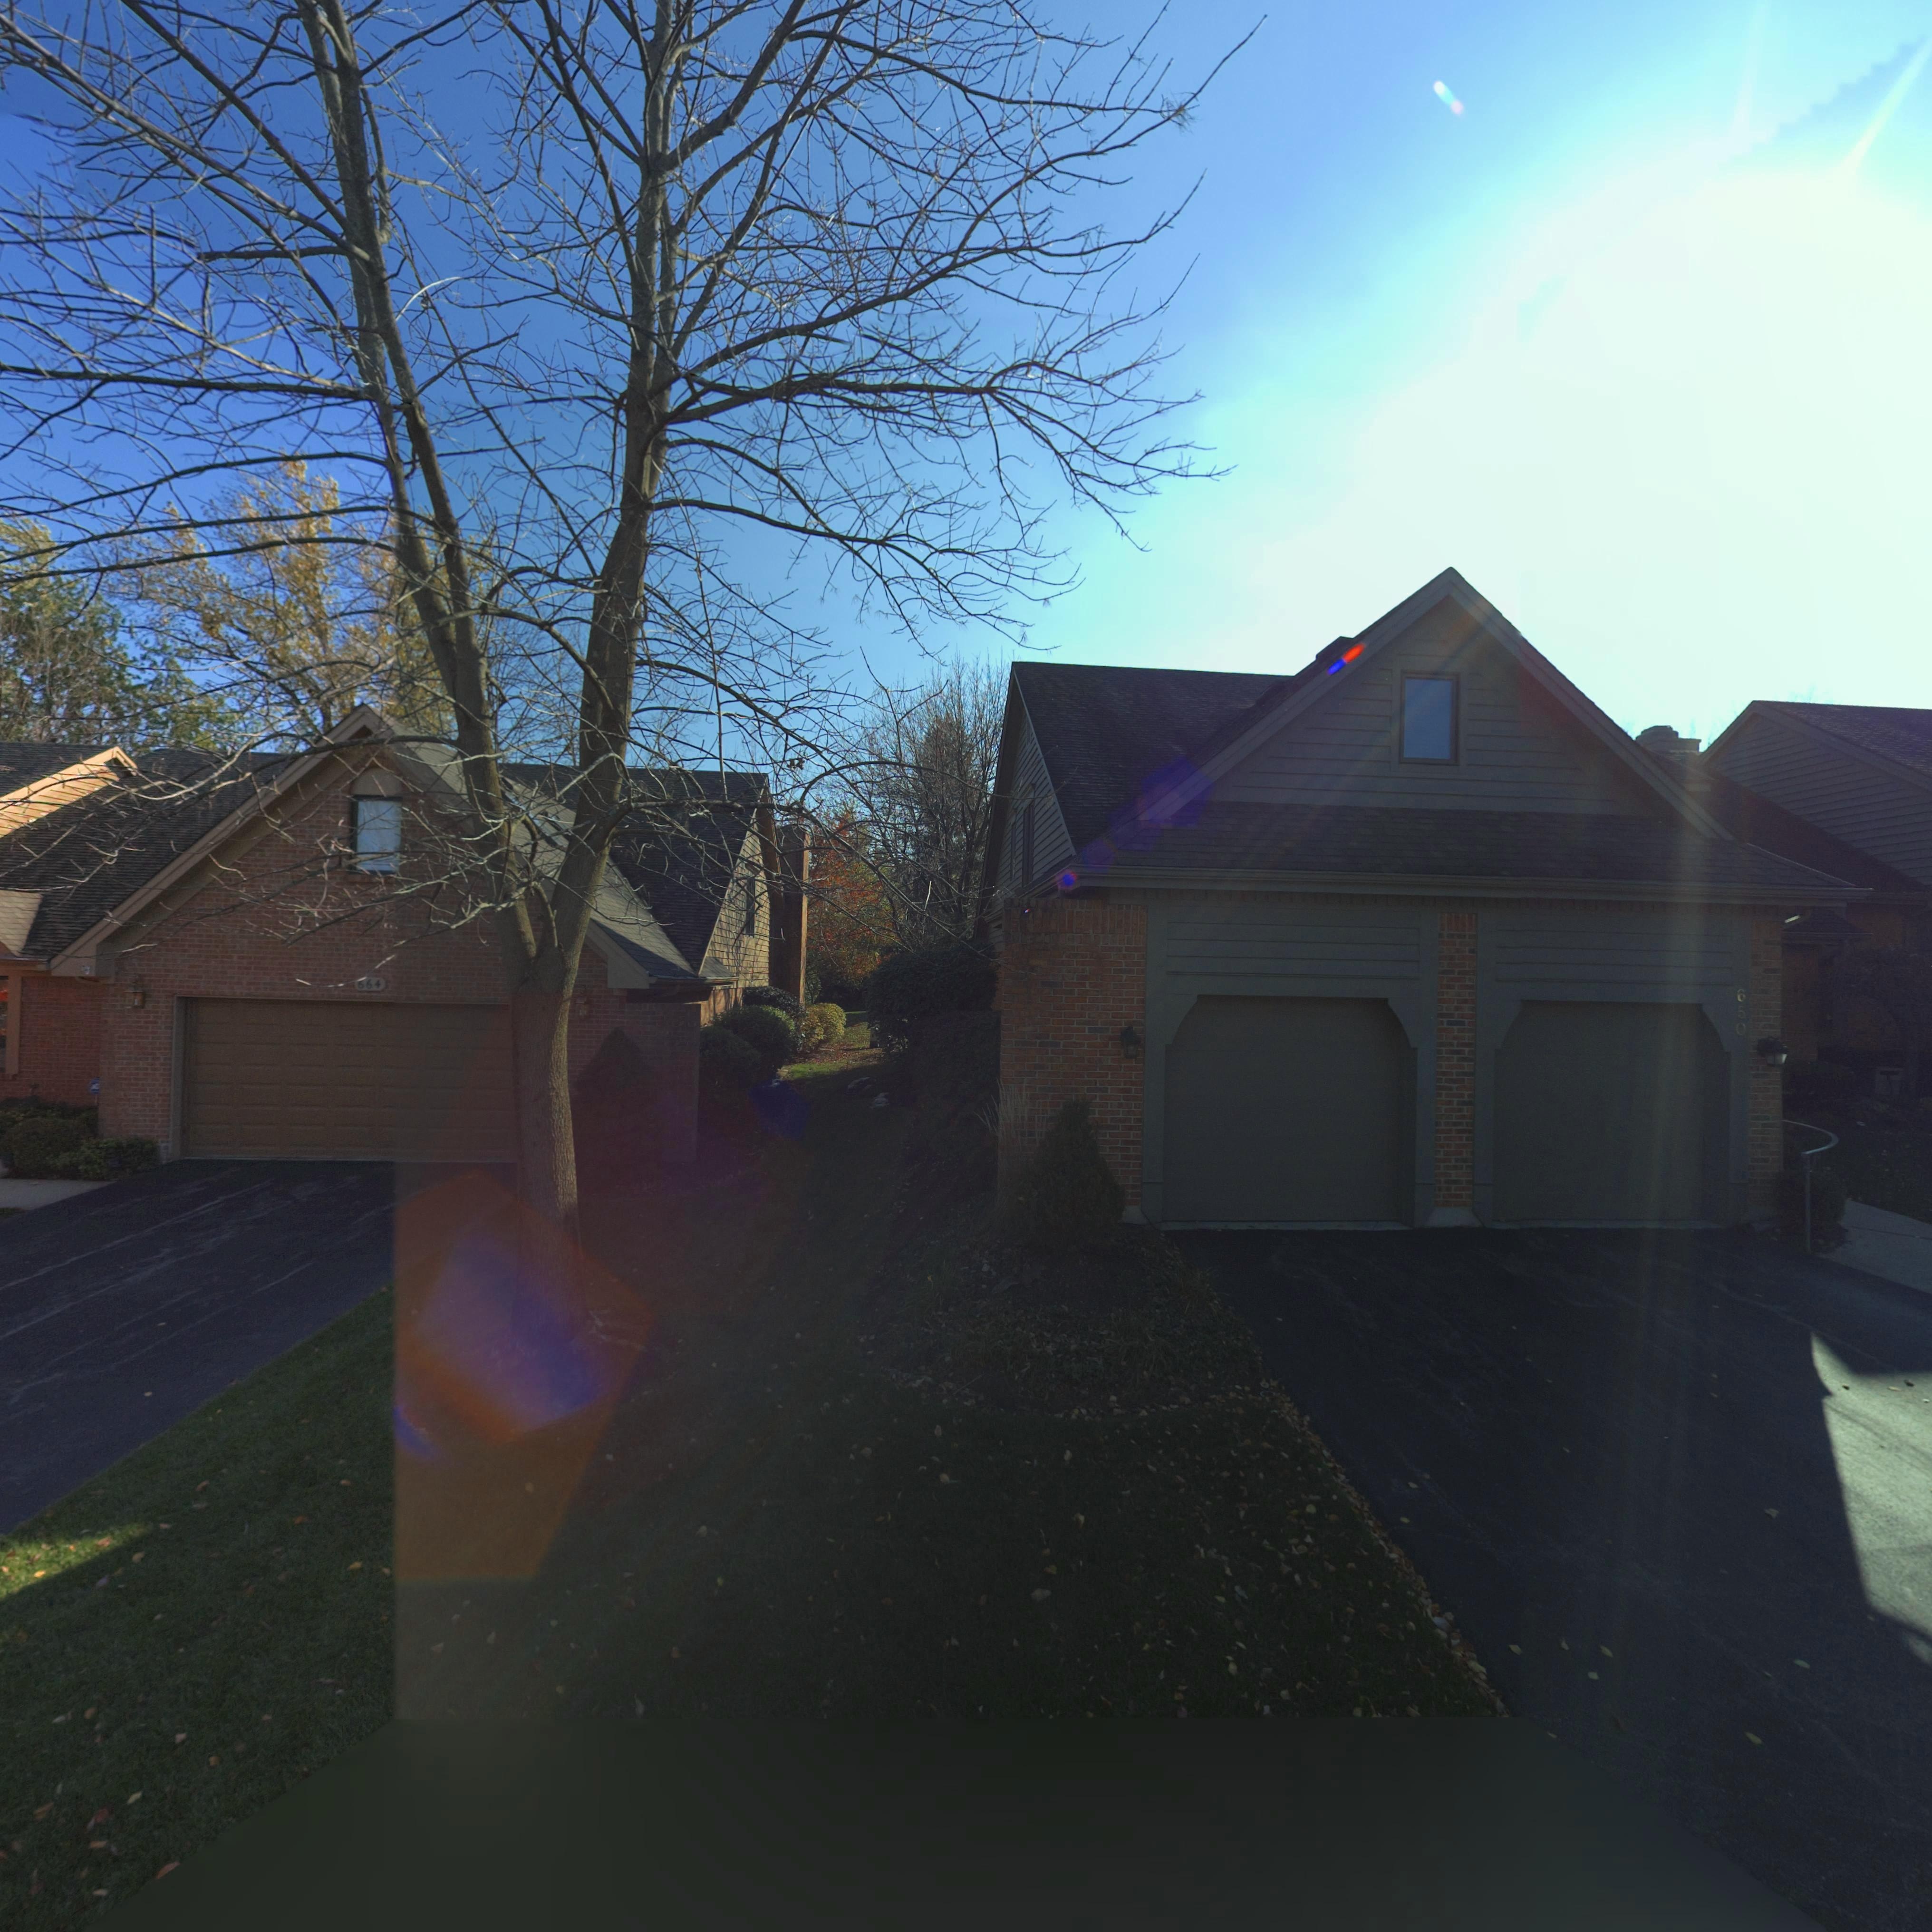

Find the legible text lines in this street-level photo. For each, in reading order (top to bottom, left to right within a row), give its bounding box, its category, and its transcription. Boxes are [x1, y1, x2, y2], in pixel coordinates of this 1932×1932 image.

[355, 978, 383, 992] StreetNumber: 664
[1734, 986, 1748, 1038] StreetNumber: 650